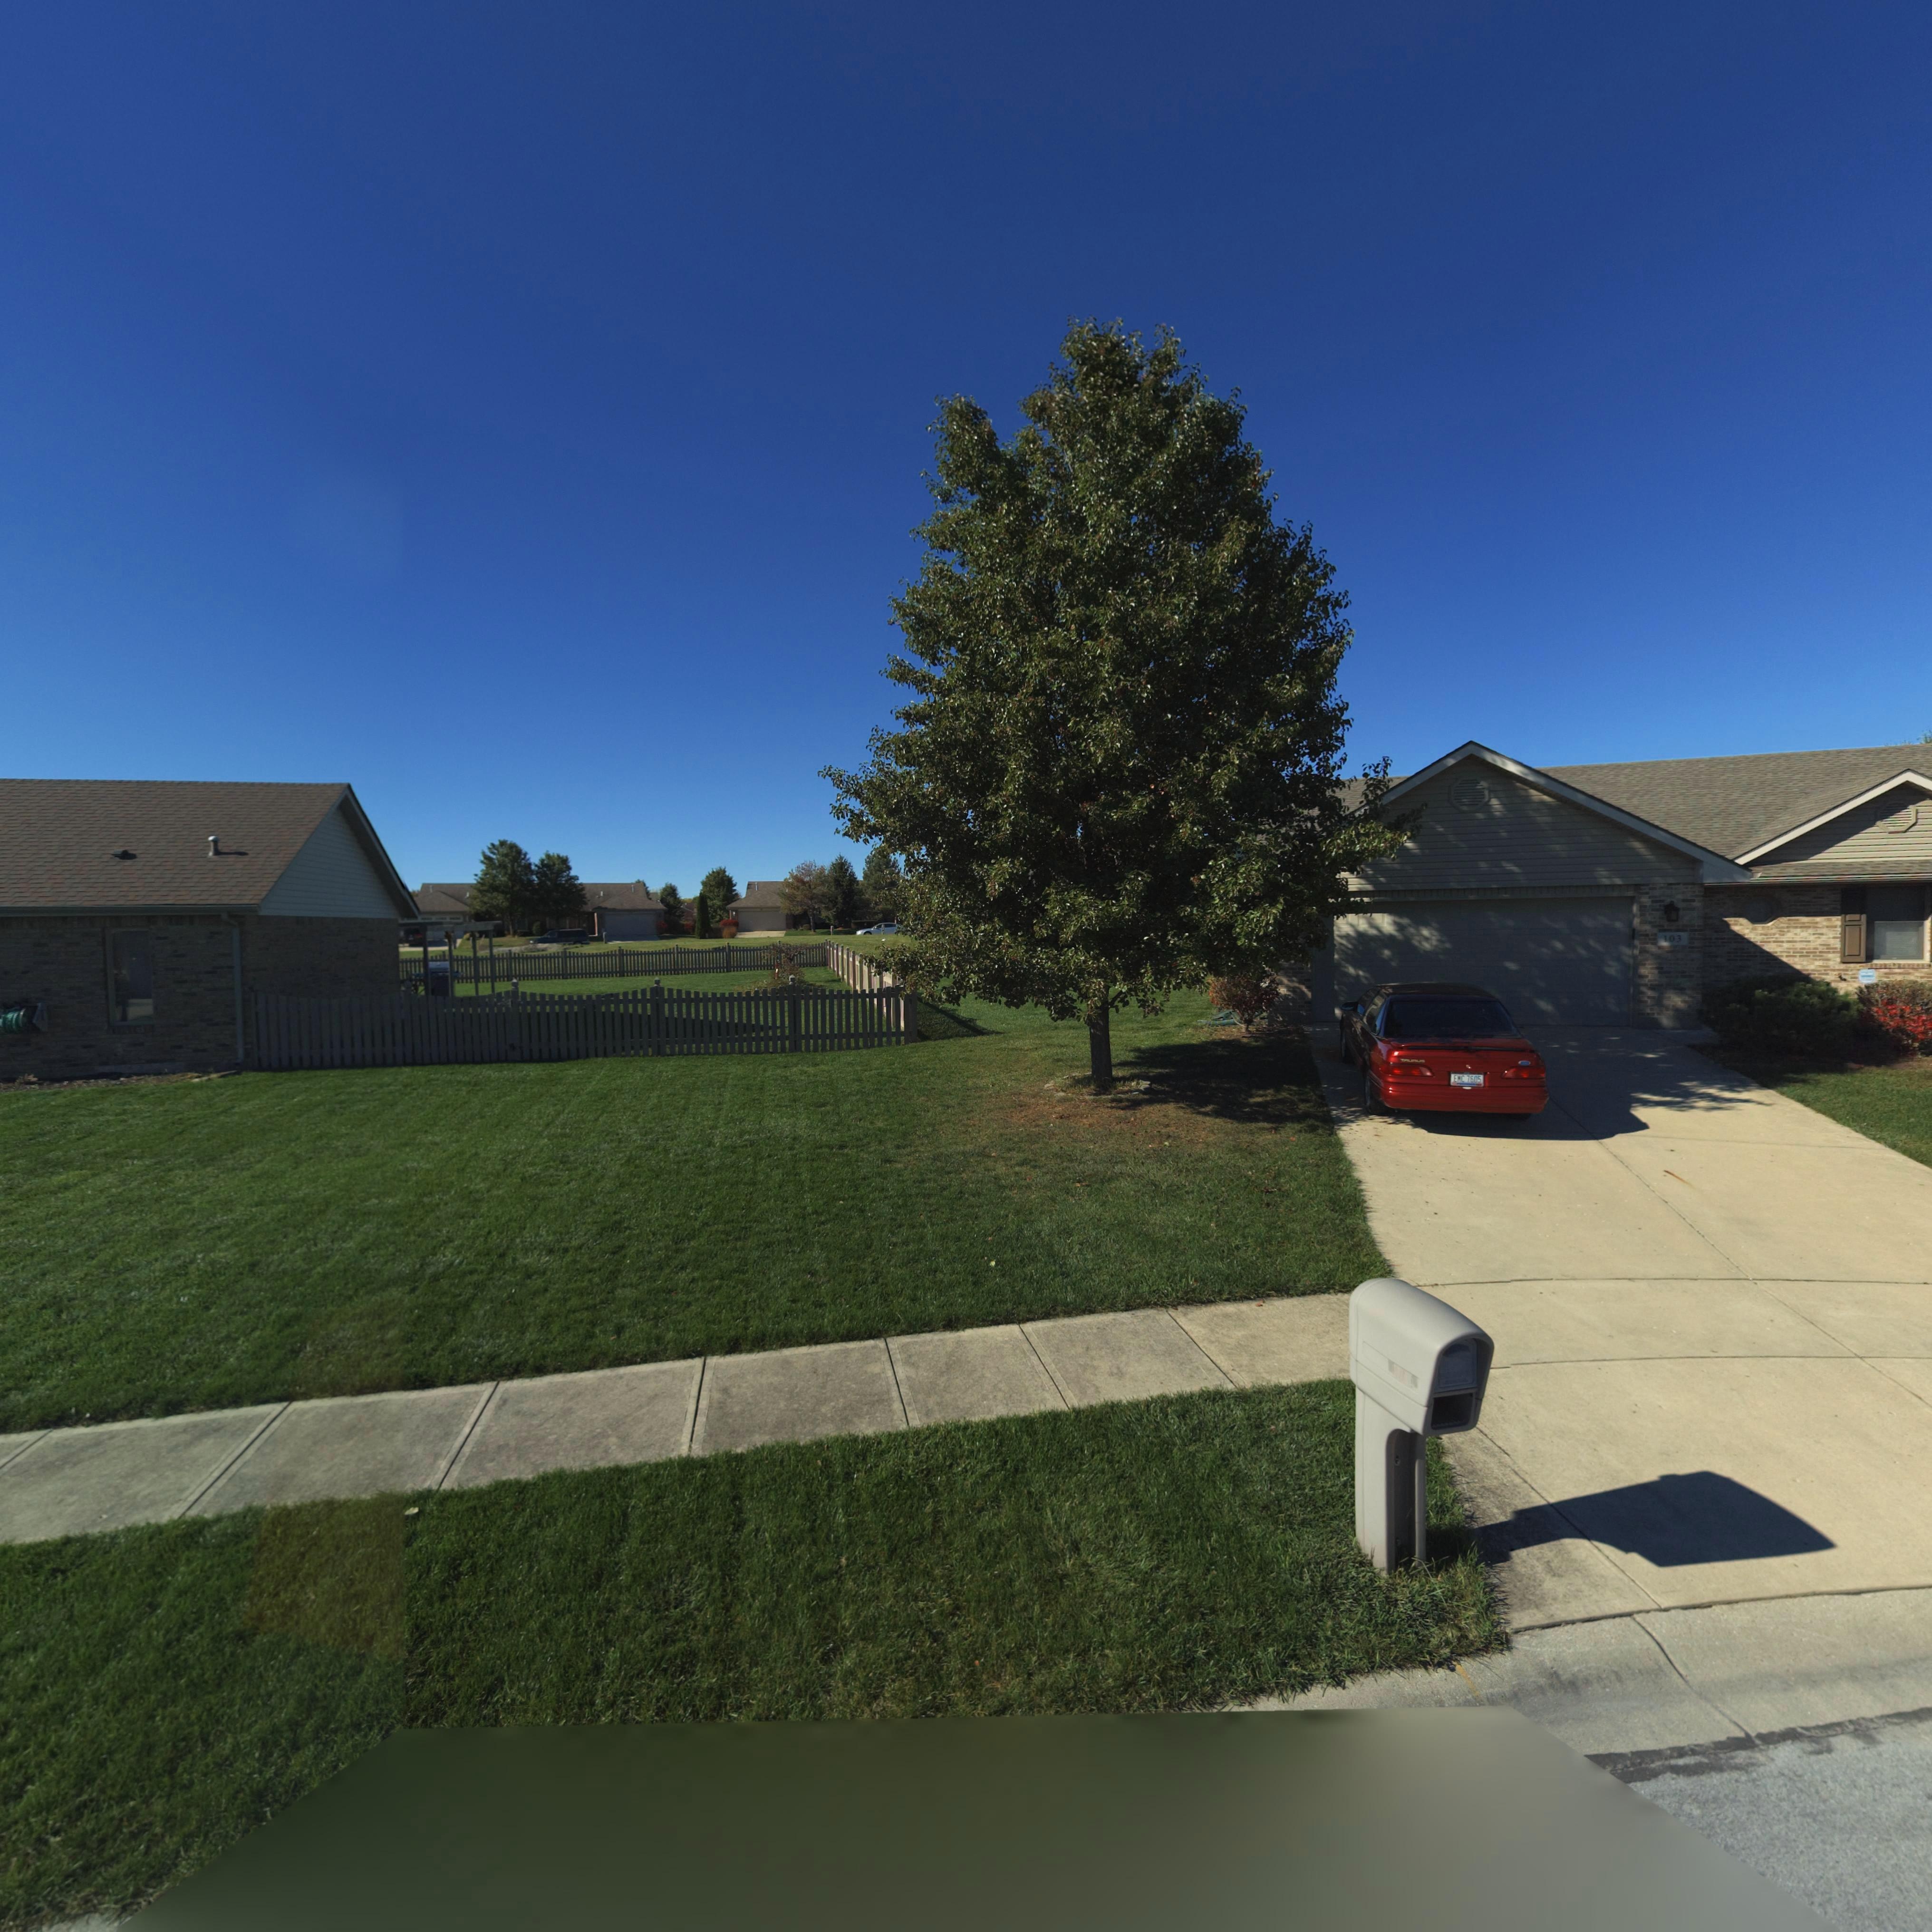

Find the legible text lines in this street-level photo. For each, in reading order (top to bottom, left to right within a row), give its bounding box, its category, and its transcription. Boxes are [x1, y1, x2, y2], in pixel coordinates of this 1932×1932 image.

[1663, 935, 1682, 943] StreetNumber: 103
[1450, 1073, 1483, 1084] None: EMC 7605